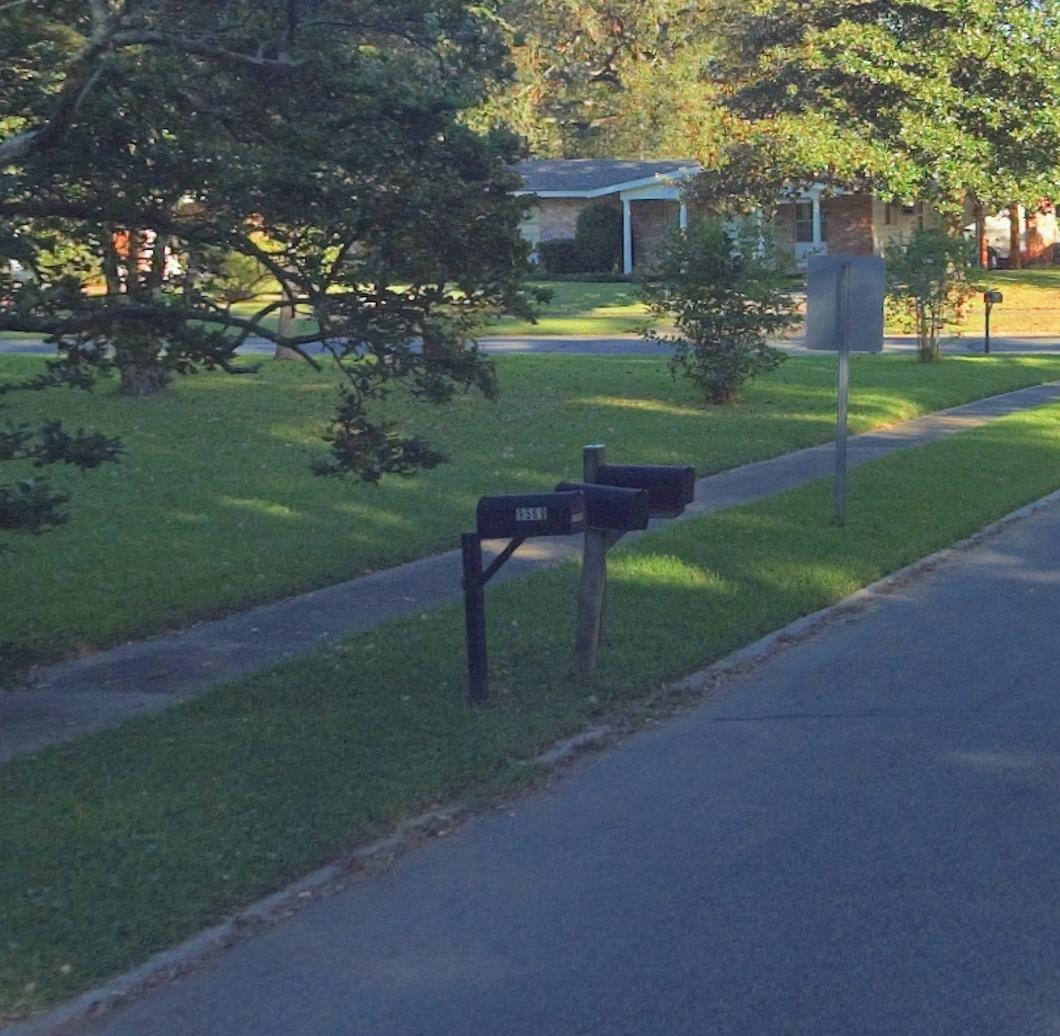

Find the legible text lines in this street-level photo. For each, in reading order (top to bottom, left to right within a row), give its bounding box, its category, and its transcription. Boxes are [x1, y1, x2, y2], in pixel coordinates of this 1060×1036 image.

[516, 507, 545, 520] StreetNumber: 9569